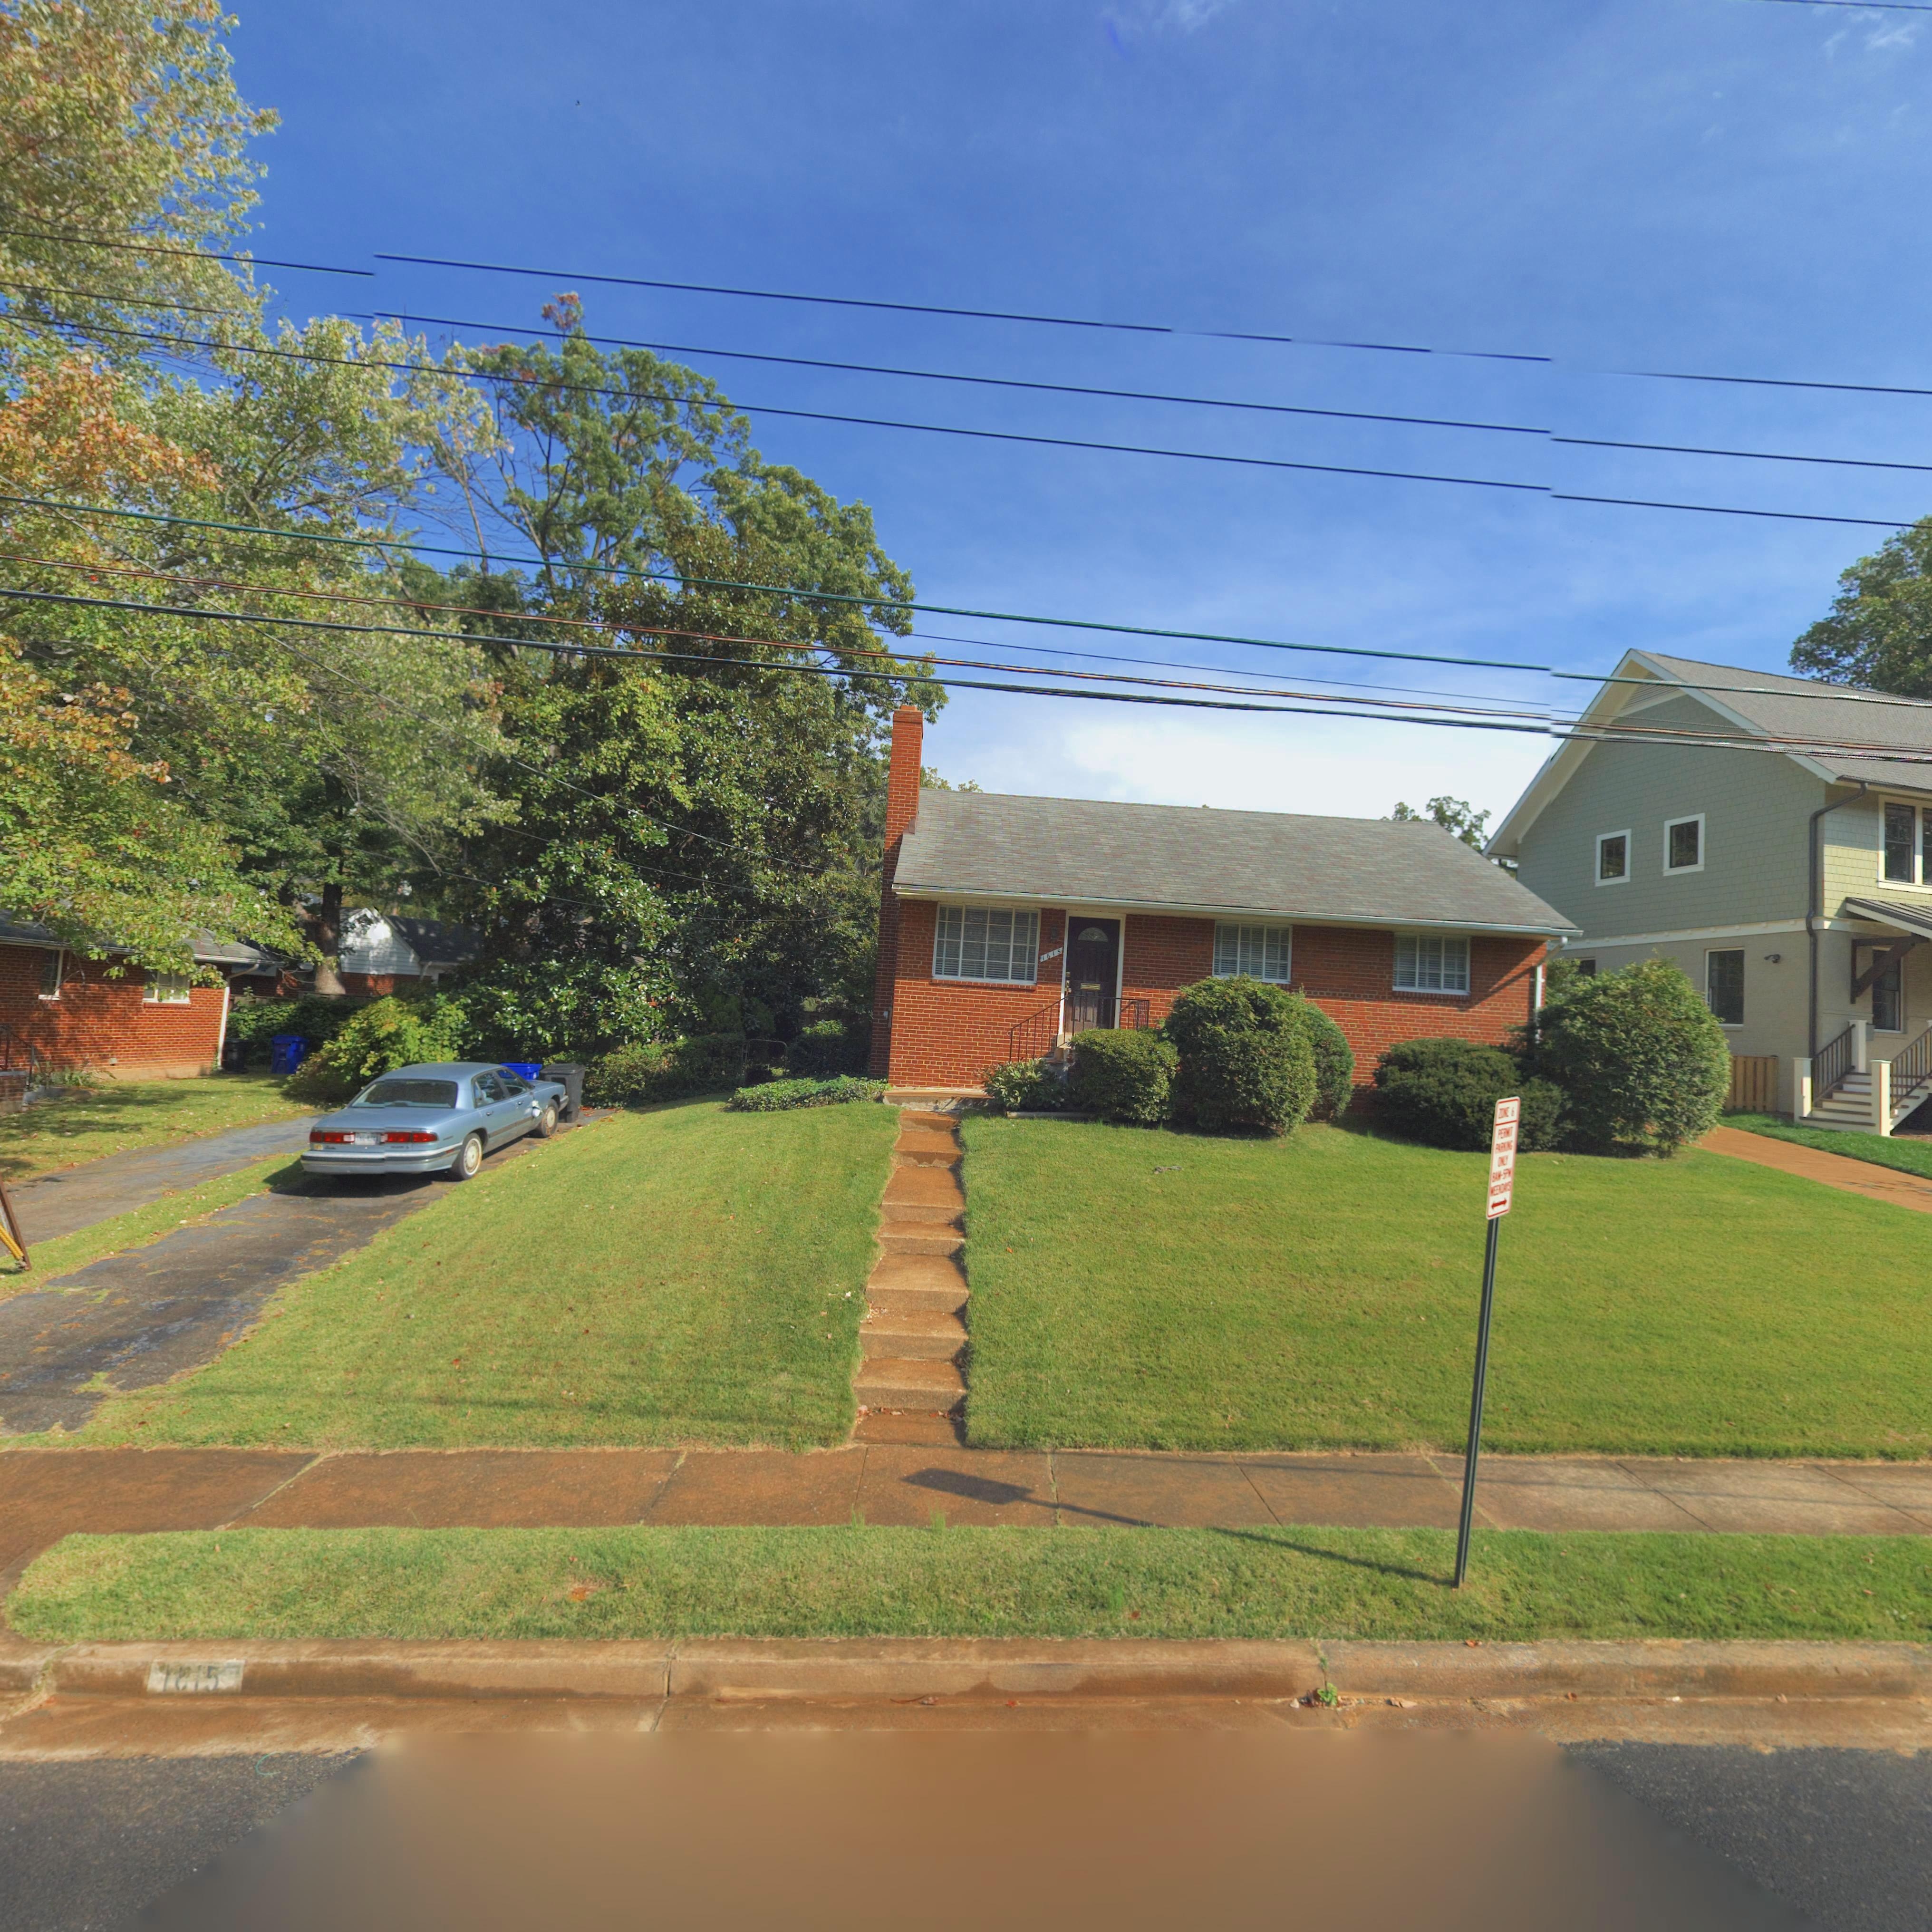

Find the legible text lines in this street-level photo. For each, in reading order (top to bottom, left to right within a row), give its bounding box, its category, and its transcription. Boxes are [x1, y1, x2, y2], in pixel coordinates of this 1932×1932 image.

[1042, 947, 1062, 962] StreetNumber: 1615
[159, 1663, 221, 1694] StreetNumber: 1*15